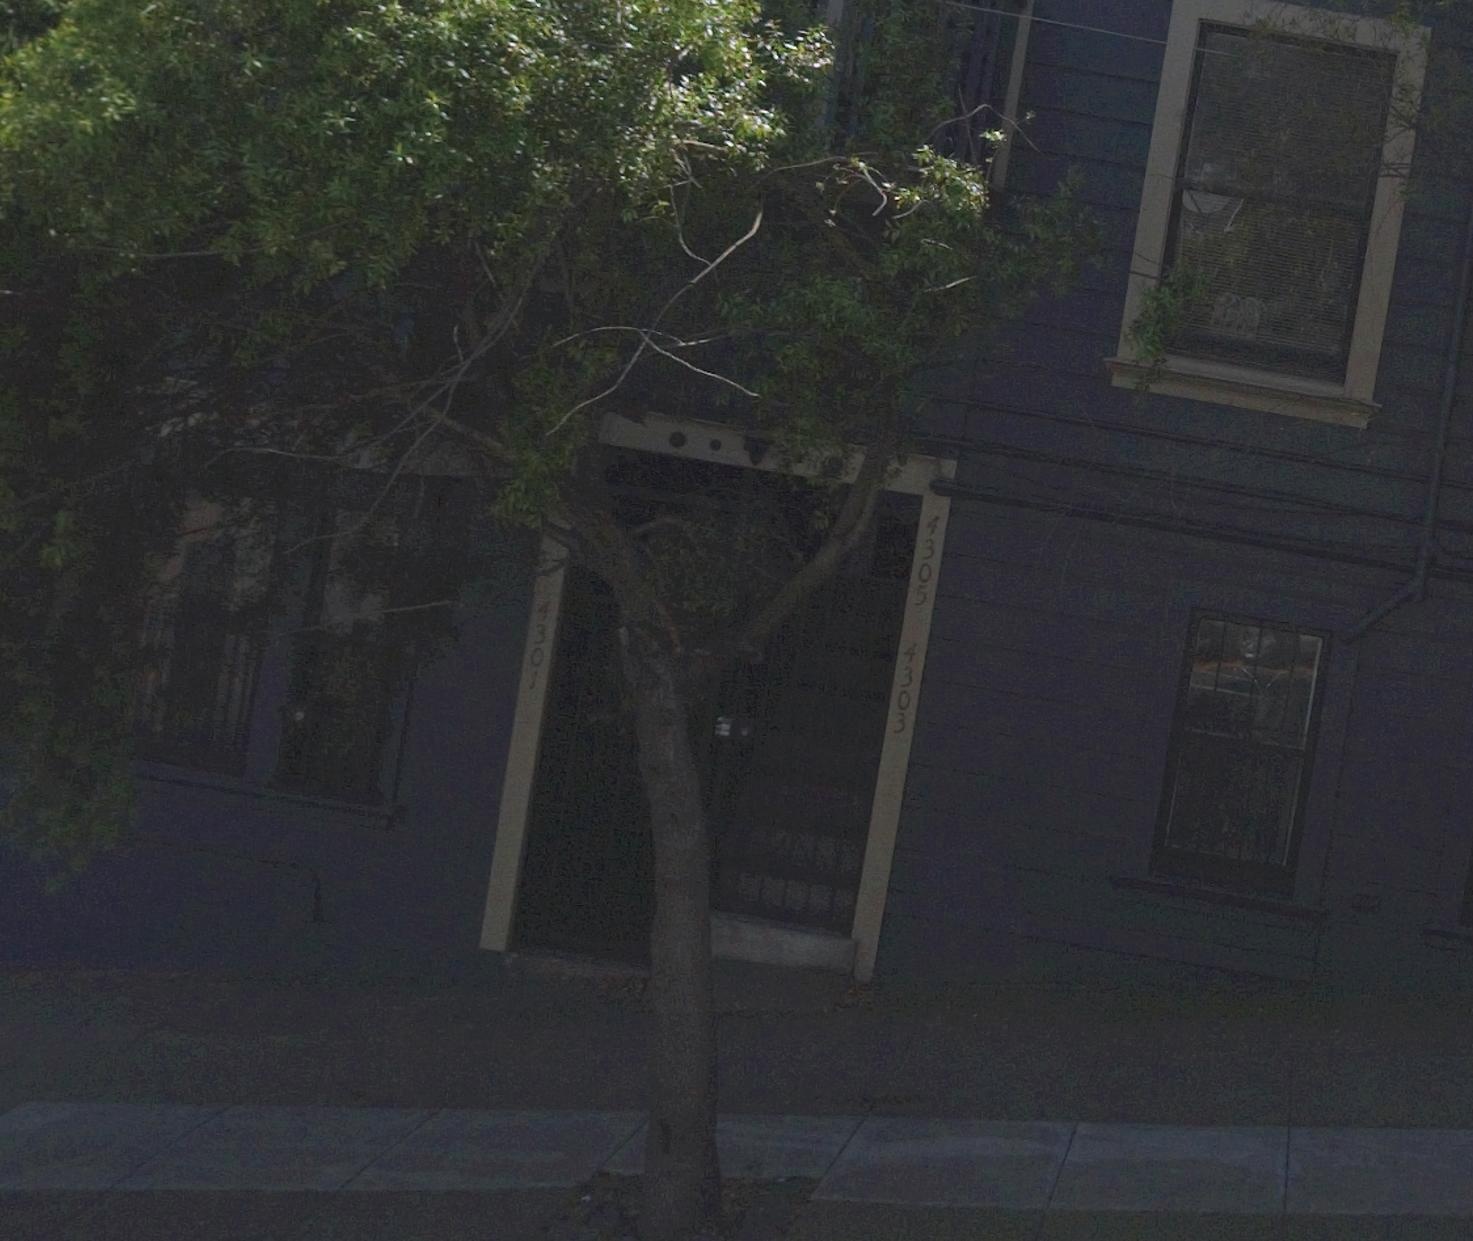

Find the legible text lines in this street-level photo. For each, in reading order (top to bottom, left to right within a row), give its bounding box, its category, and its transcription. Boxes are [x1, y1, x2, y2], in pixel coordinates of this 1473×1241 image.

[908, 512, 945, 613] StreetNumber: 4305
[523, 597, 559, 694] StreetNumber: 4301
[888, 639, 927, 739] StreetNumber: 4303